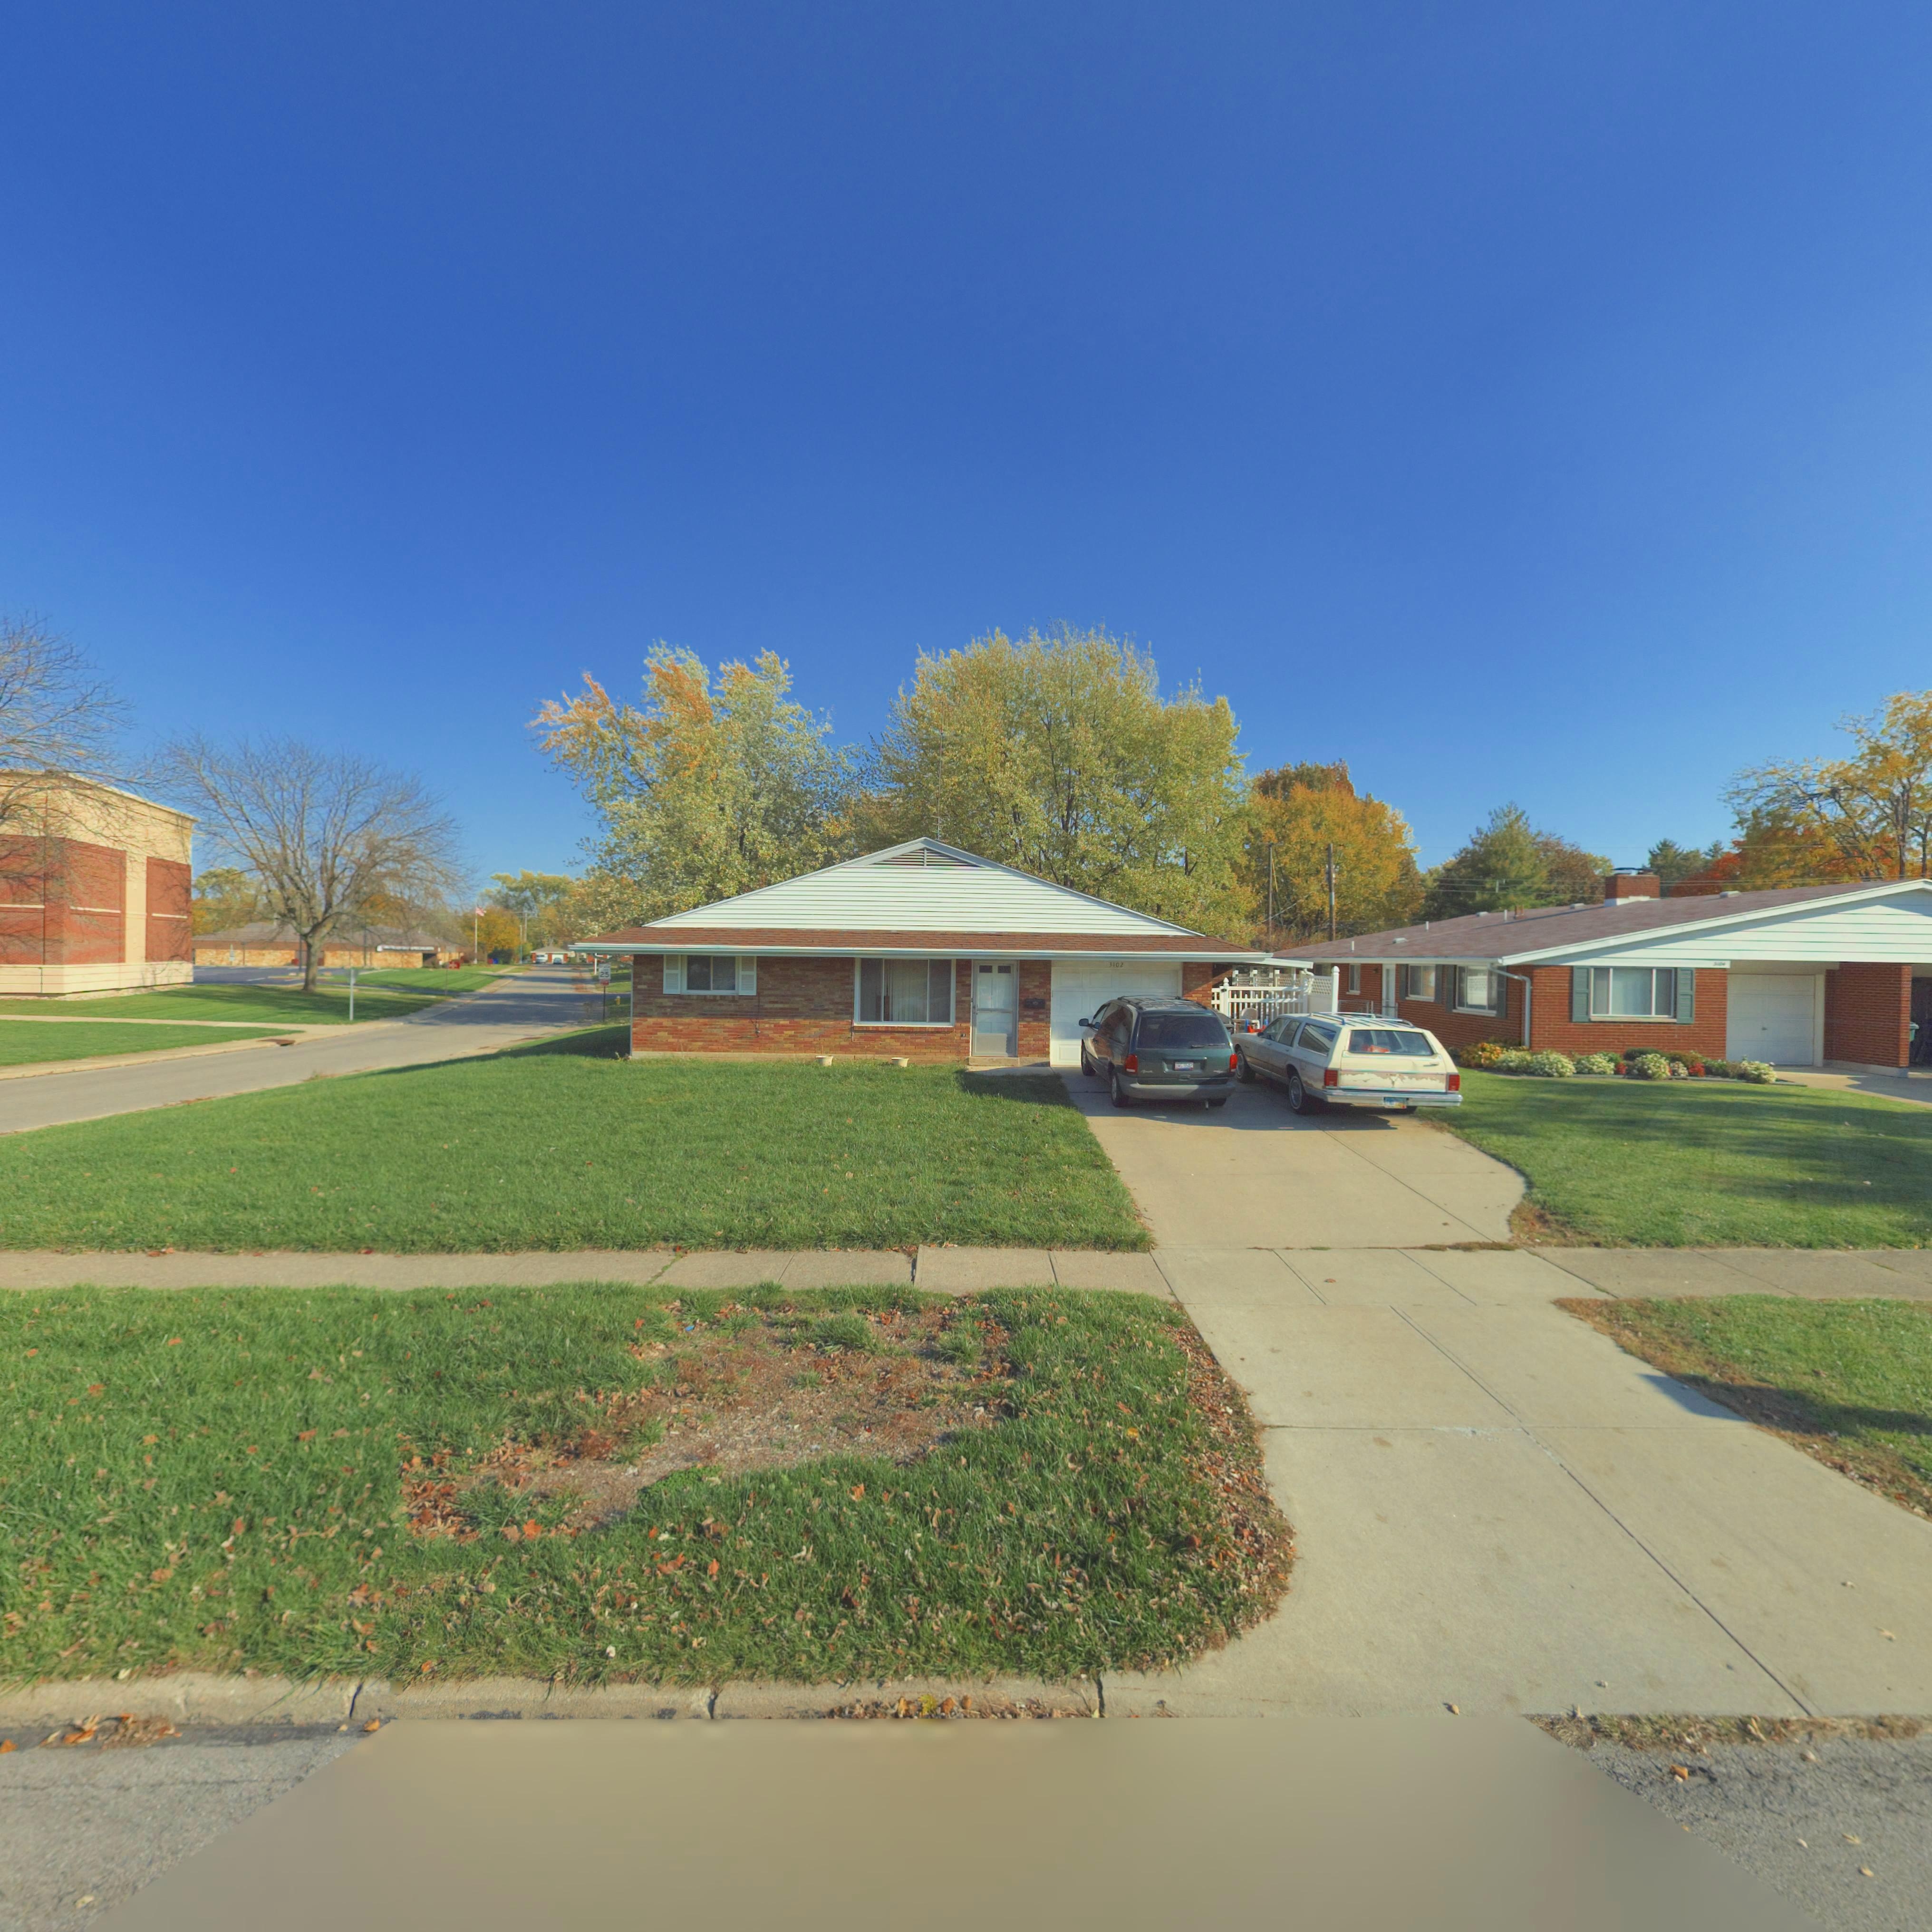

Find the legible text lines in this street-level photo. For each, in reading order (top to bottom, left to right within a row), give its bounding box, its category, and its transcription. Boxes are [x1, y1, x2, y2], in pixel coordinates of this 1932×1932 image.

[1108, 961, 1123, 967] StreetNumber: 3102
[1712, 961, 1727, 966] StreetNumber: 3104